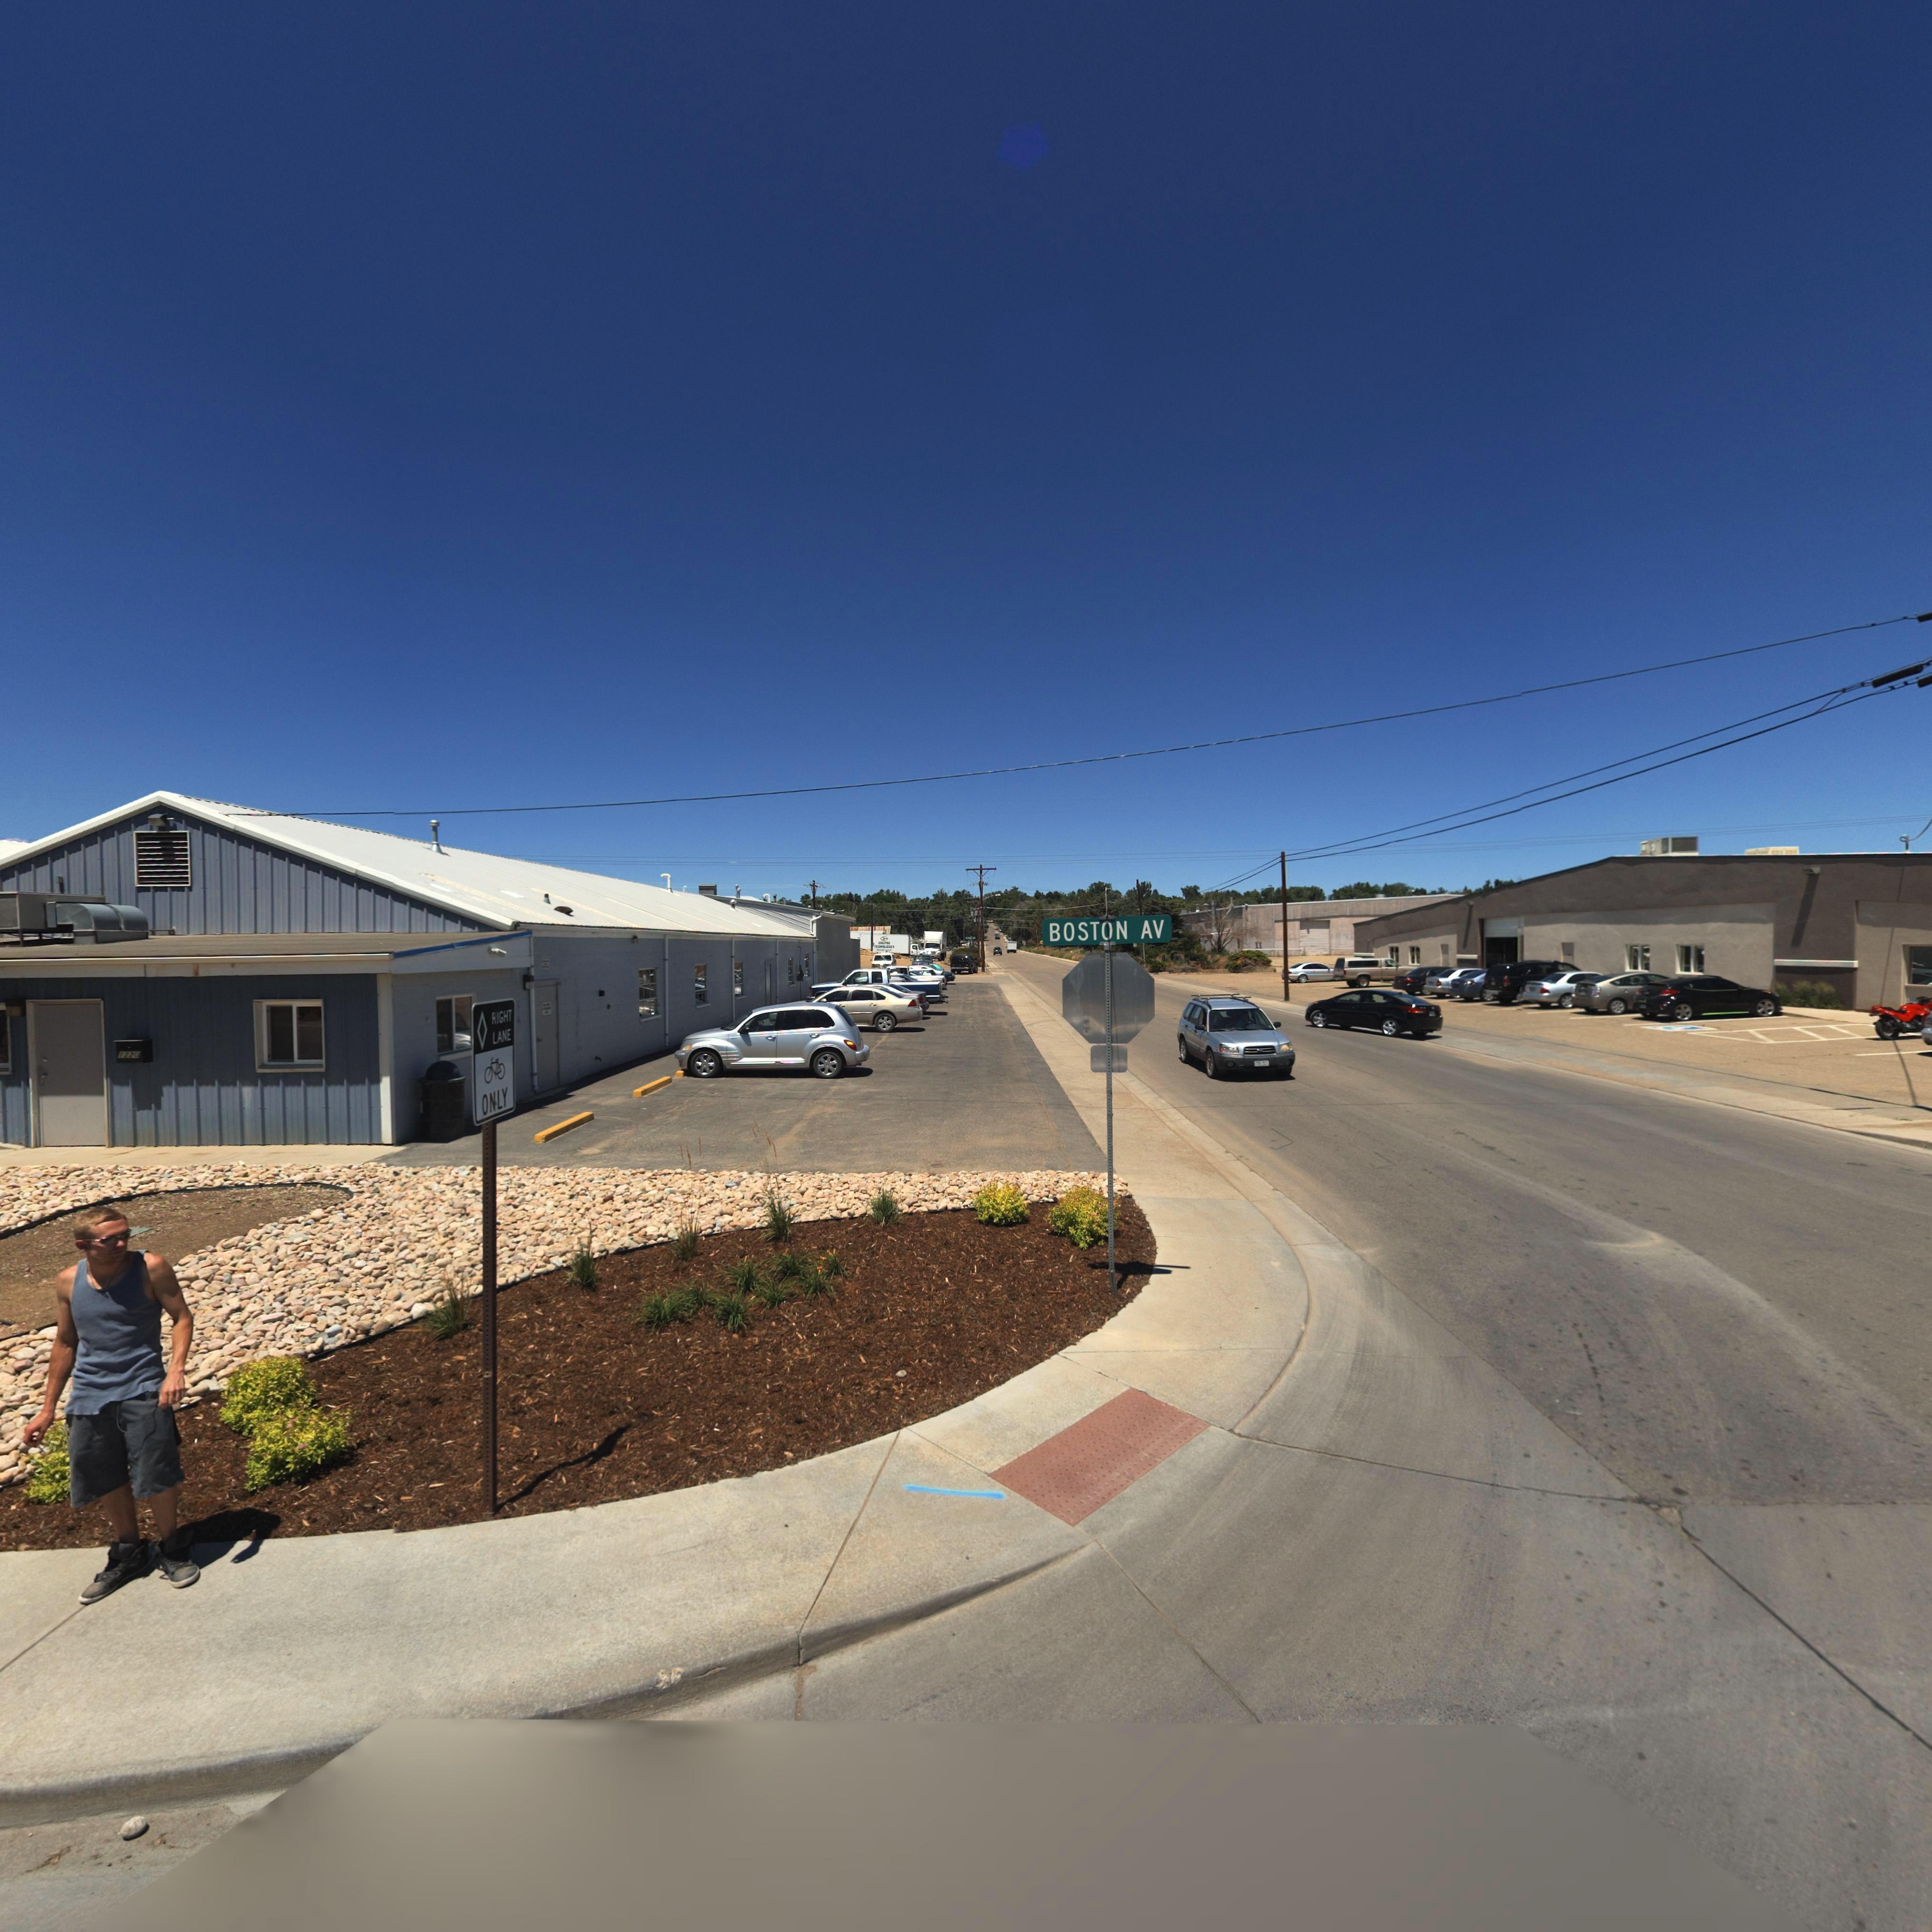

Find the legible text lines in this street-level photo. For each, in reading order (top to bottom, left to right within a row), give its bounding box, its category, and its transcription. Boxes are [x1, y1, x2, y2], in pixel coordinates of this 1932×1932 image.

[1049, 919, 1165, 942] StreetName: BOSTON AV
[118, 1051, 141, 1058] StreetNumber: 1220